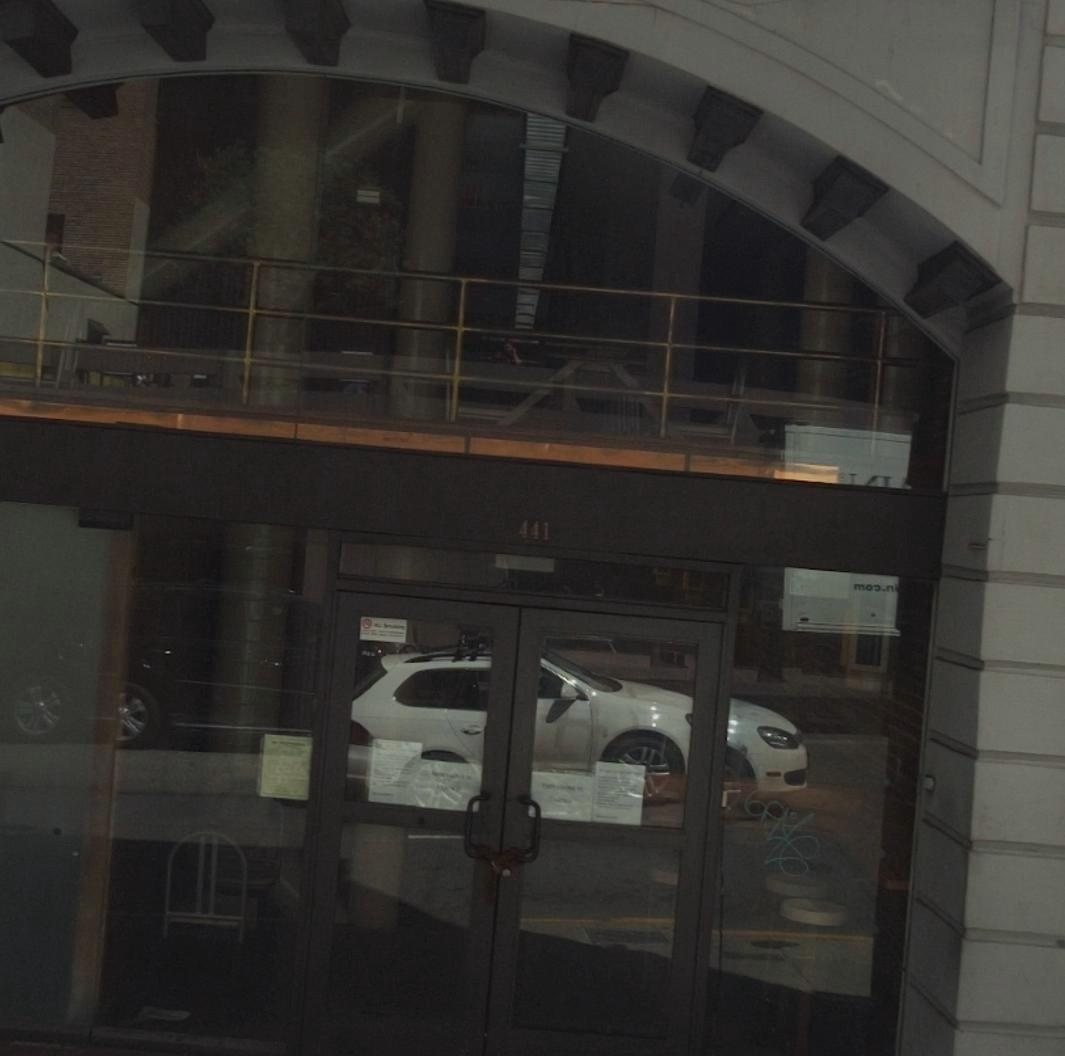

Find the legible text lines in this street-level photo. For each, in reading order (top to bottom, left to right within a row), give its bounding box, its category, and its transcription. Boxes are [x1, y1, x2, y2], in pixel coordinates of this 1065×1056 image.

[518, 518, 550, 542] StreetNumber: 441